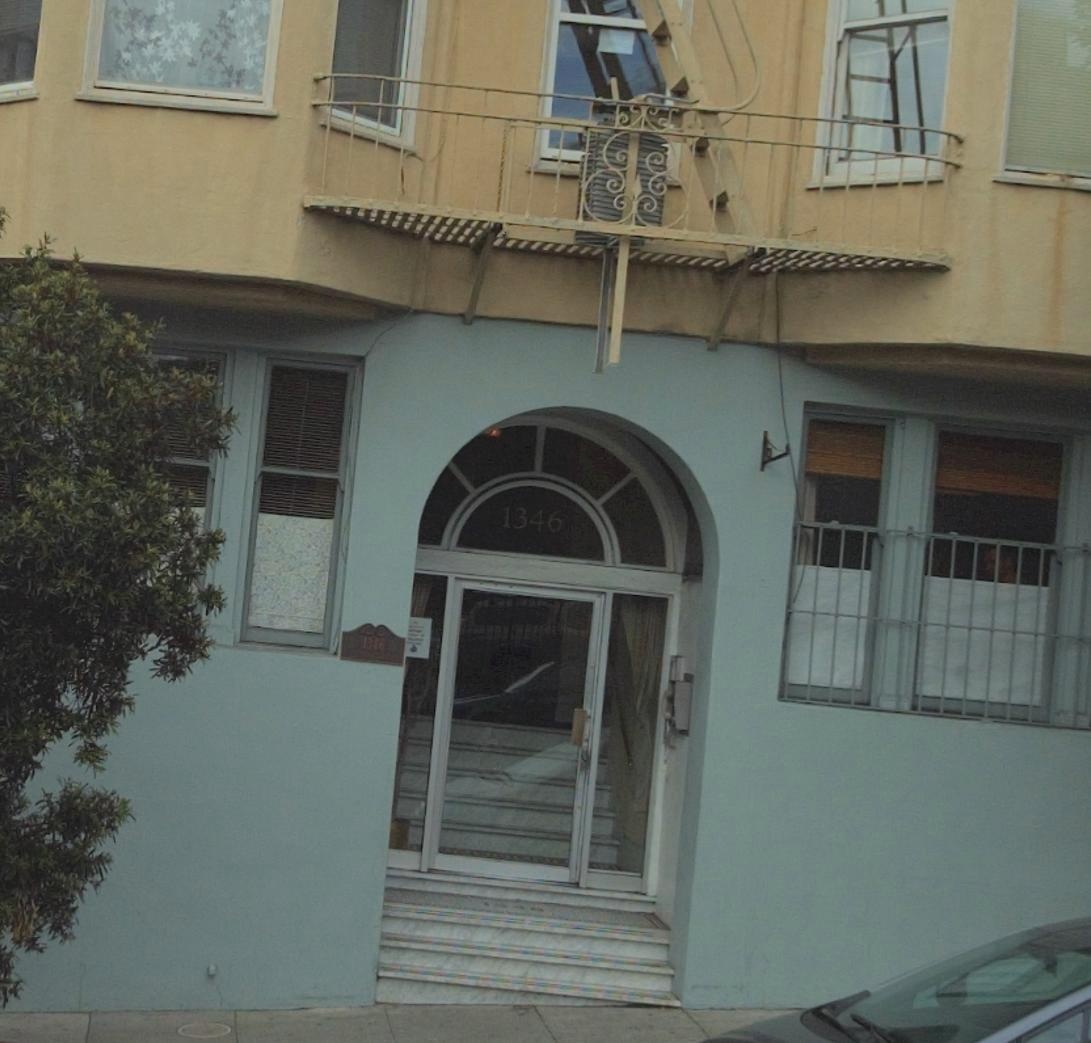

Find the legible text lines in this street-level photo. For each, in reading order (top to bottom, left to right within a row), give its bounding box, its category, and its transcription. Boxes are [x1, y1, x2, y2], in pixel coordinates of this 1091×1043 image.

[499, 501, 569, 539] StreetNumber: 1346
[360, 634, 381, 653] StreetNumber: 134